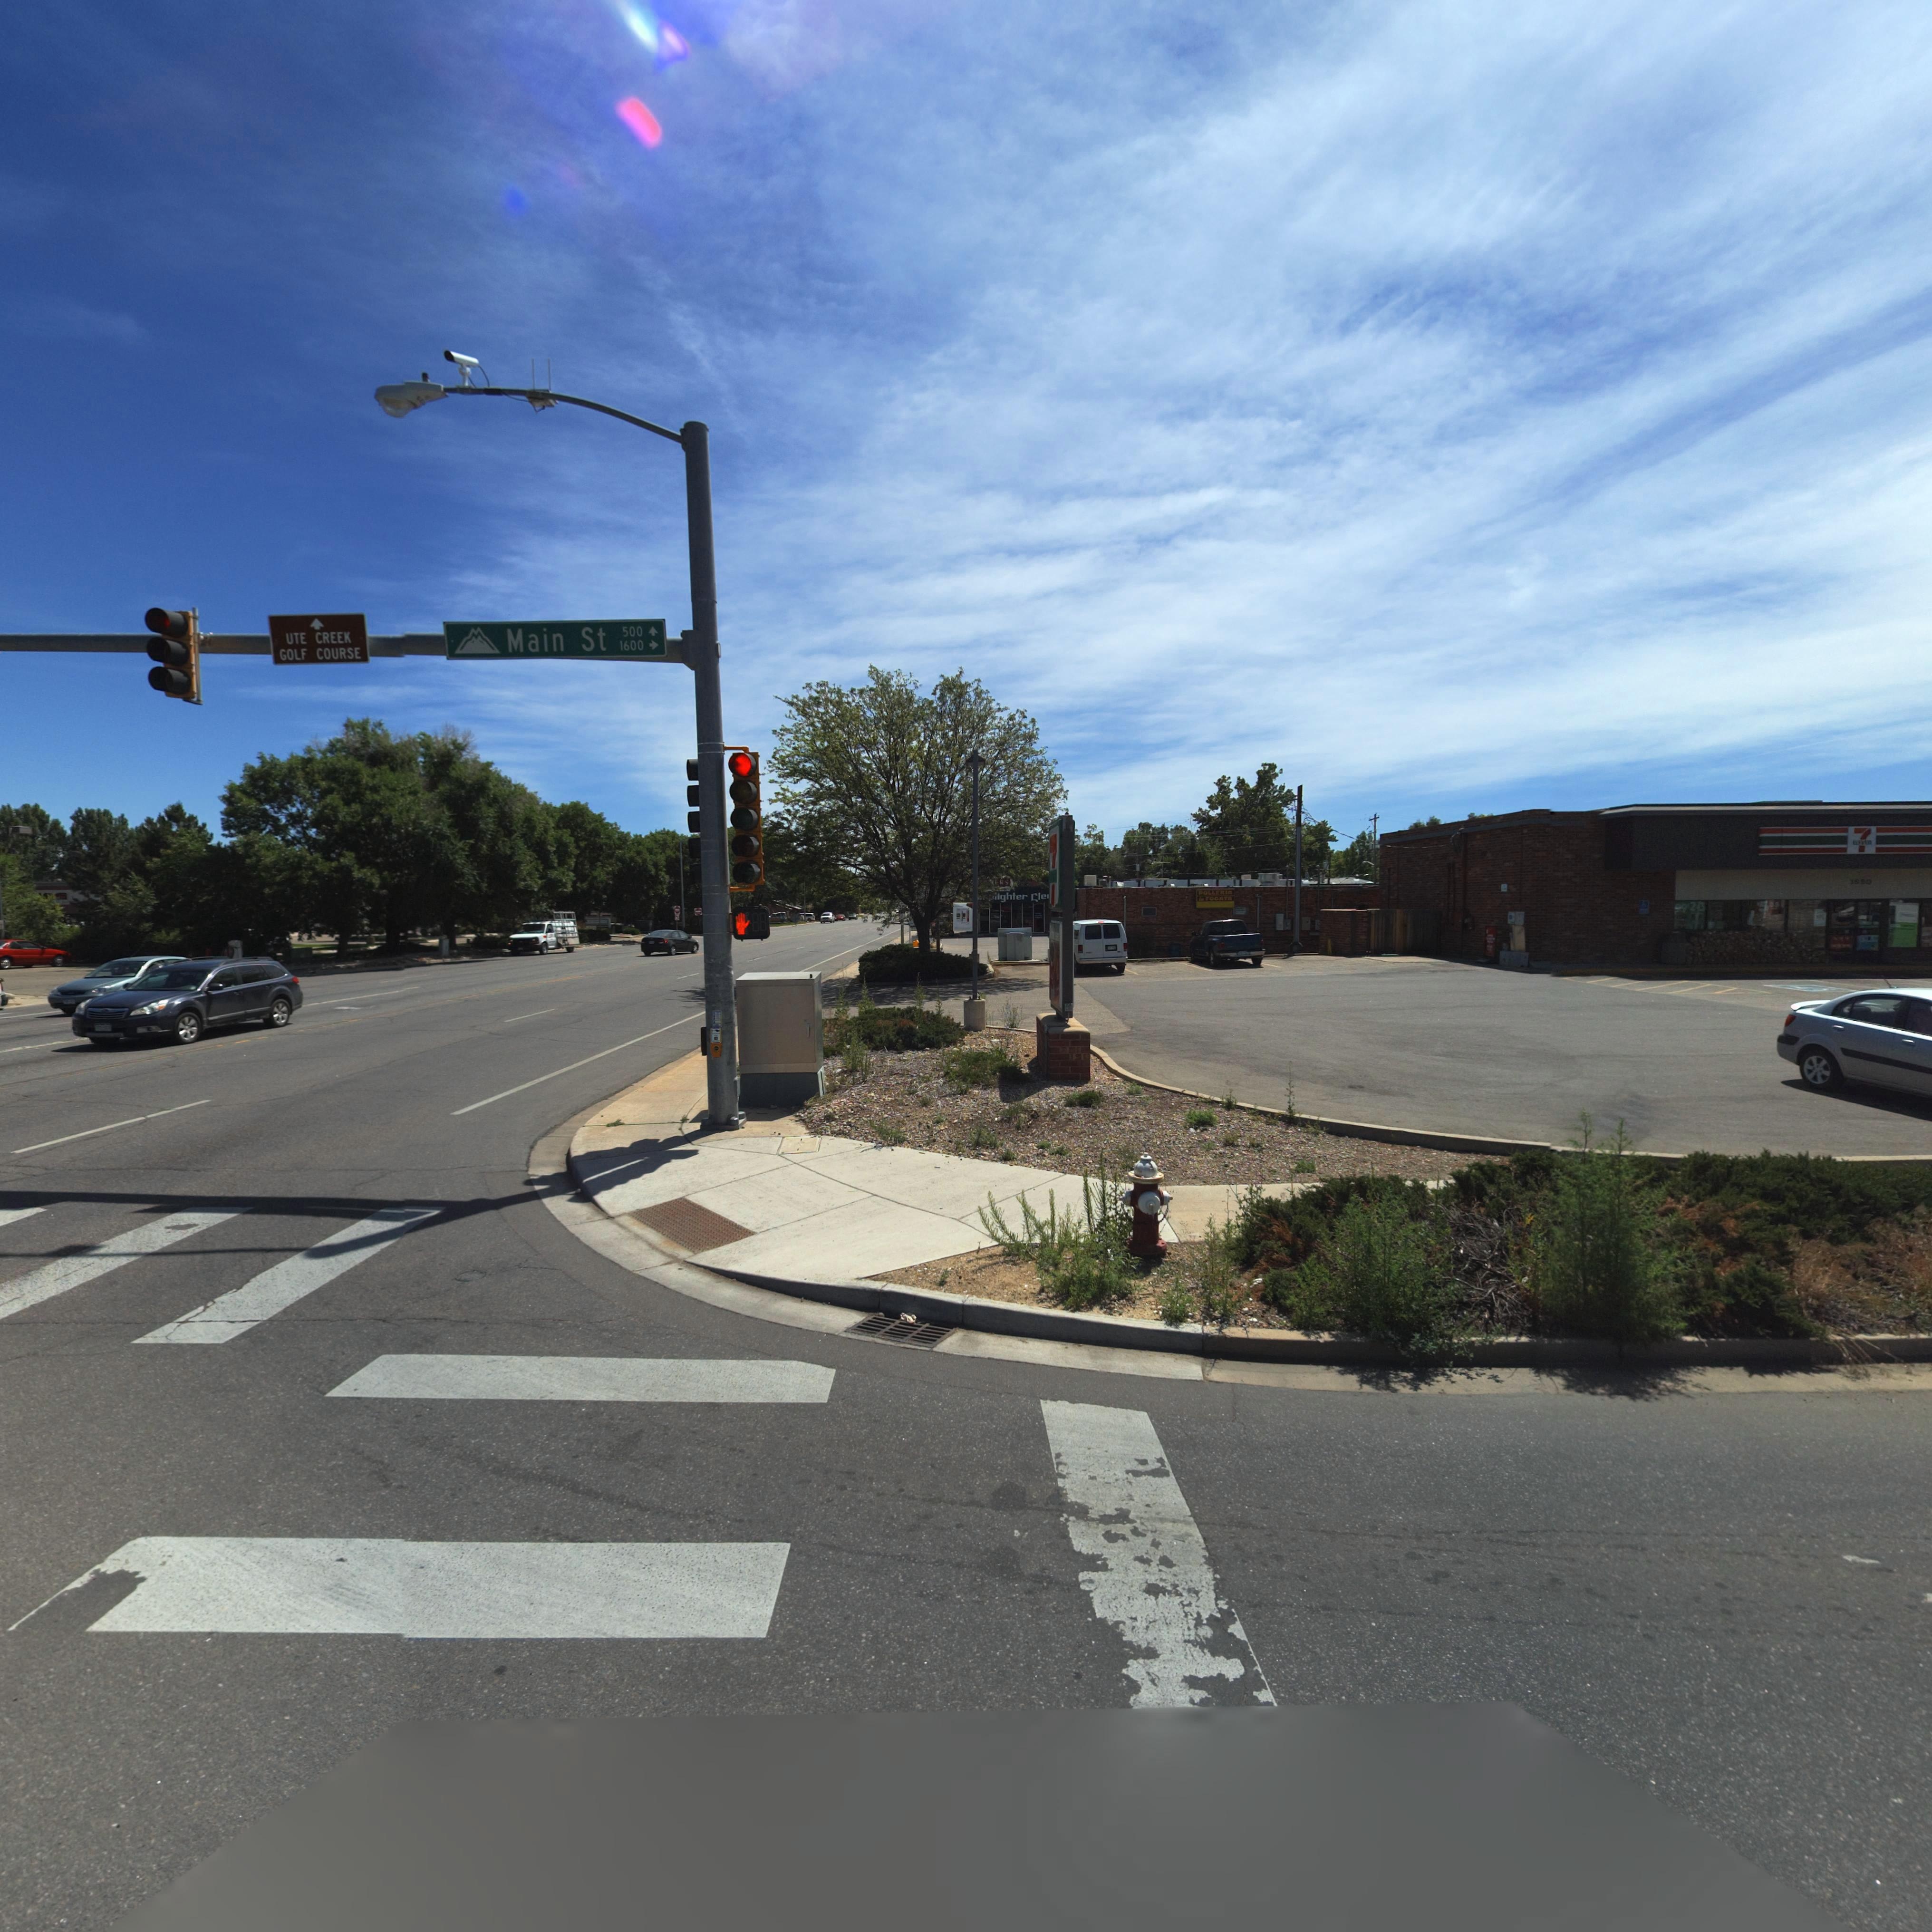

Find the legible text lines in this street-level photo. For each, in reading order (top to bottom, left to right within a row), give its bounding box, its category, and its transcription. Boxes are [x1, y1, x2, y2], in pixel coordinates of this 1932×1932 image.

[621, 625, 643, 638] StreetNumberRange: 500
[506, 626, 608, 653] StreetName: Main St
[619, 639, 659, 651] StreetNumberRange: 1600->
[1853, 827, 1872, 852] BusinessName: 7
[1853, 839, 1873, 845] BusinessName: *****n
[1049, 832, 1058, 907] BusinessName: 7
[991, 879, 1009, 885] BusinessName: *ERS
[1849, 878, 1872, 884] StreetNumber: 1**0
[987, 891, 1049, 903] BusinessName: **ighter Cle*
[1198, 890, 1232, 895] BusinessName: POLL*RIA
[1198, 896, 1233, 901] BusinessName: la FOGATA